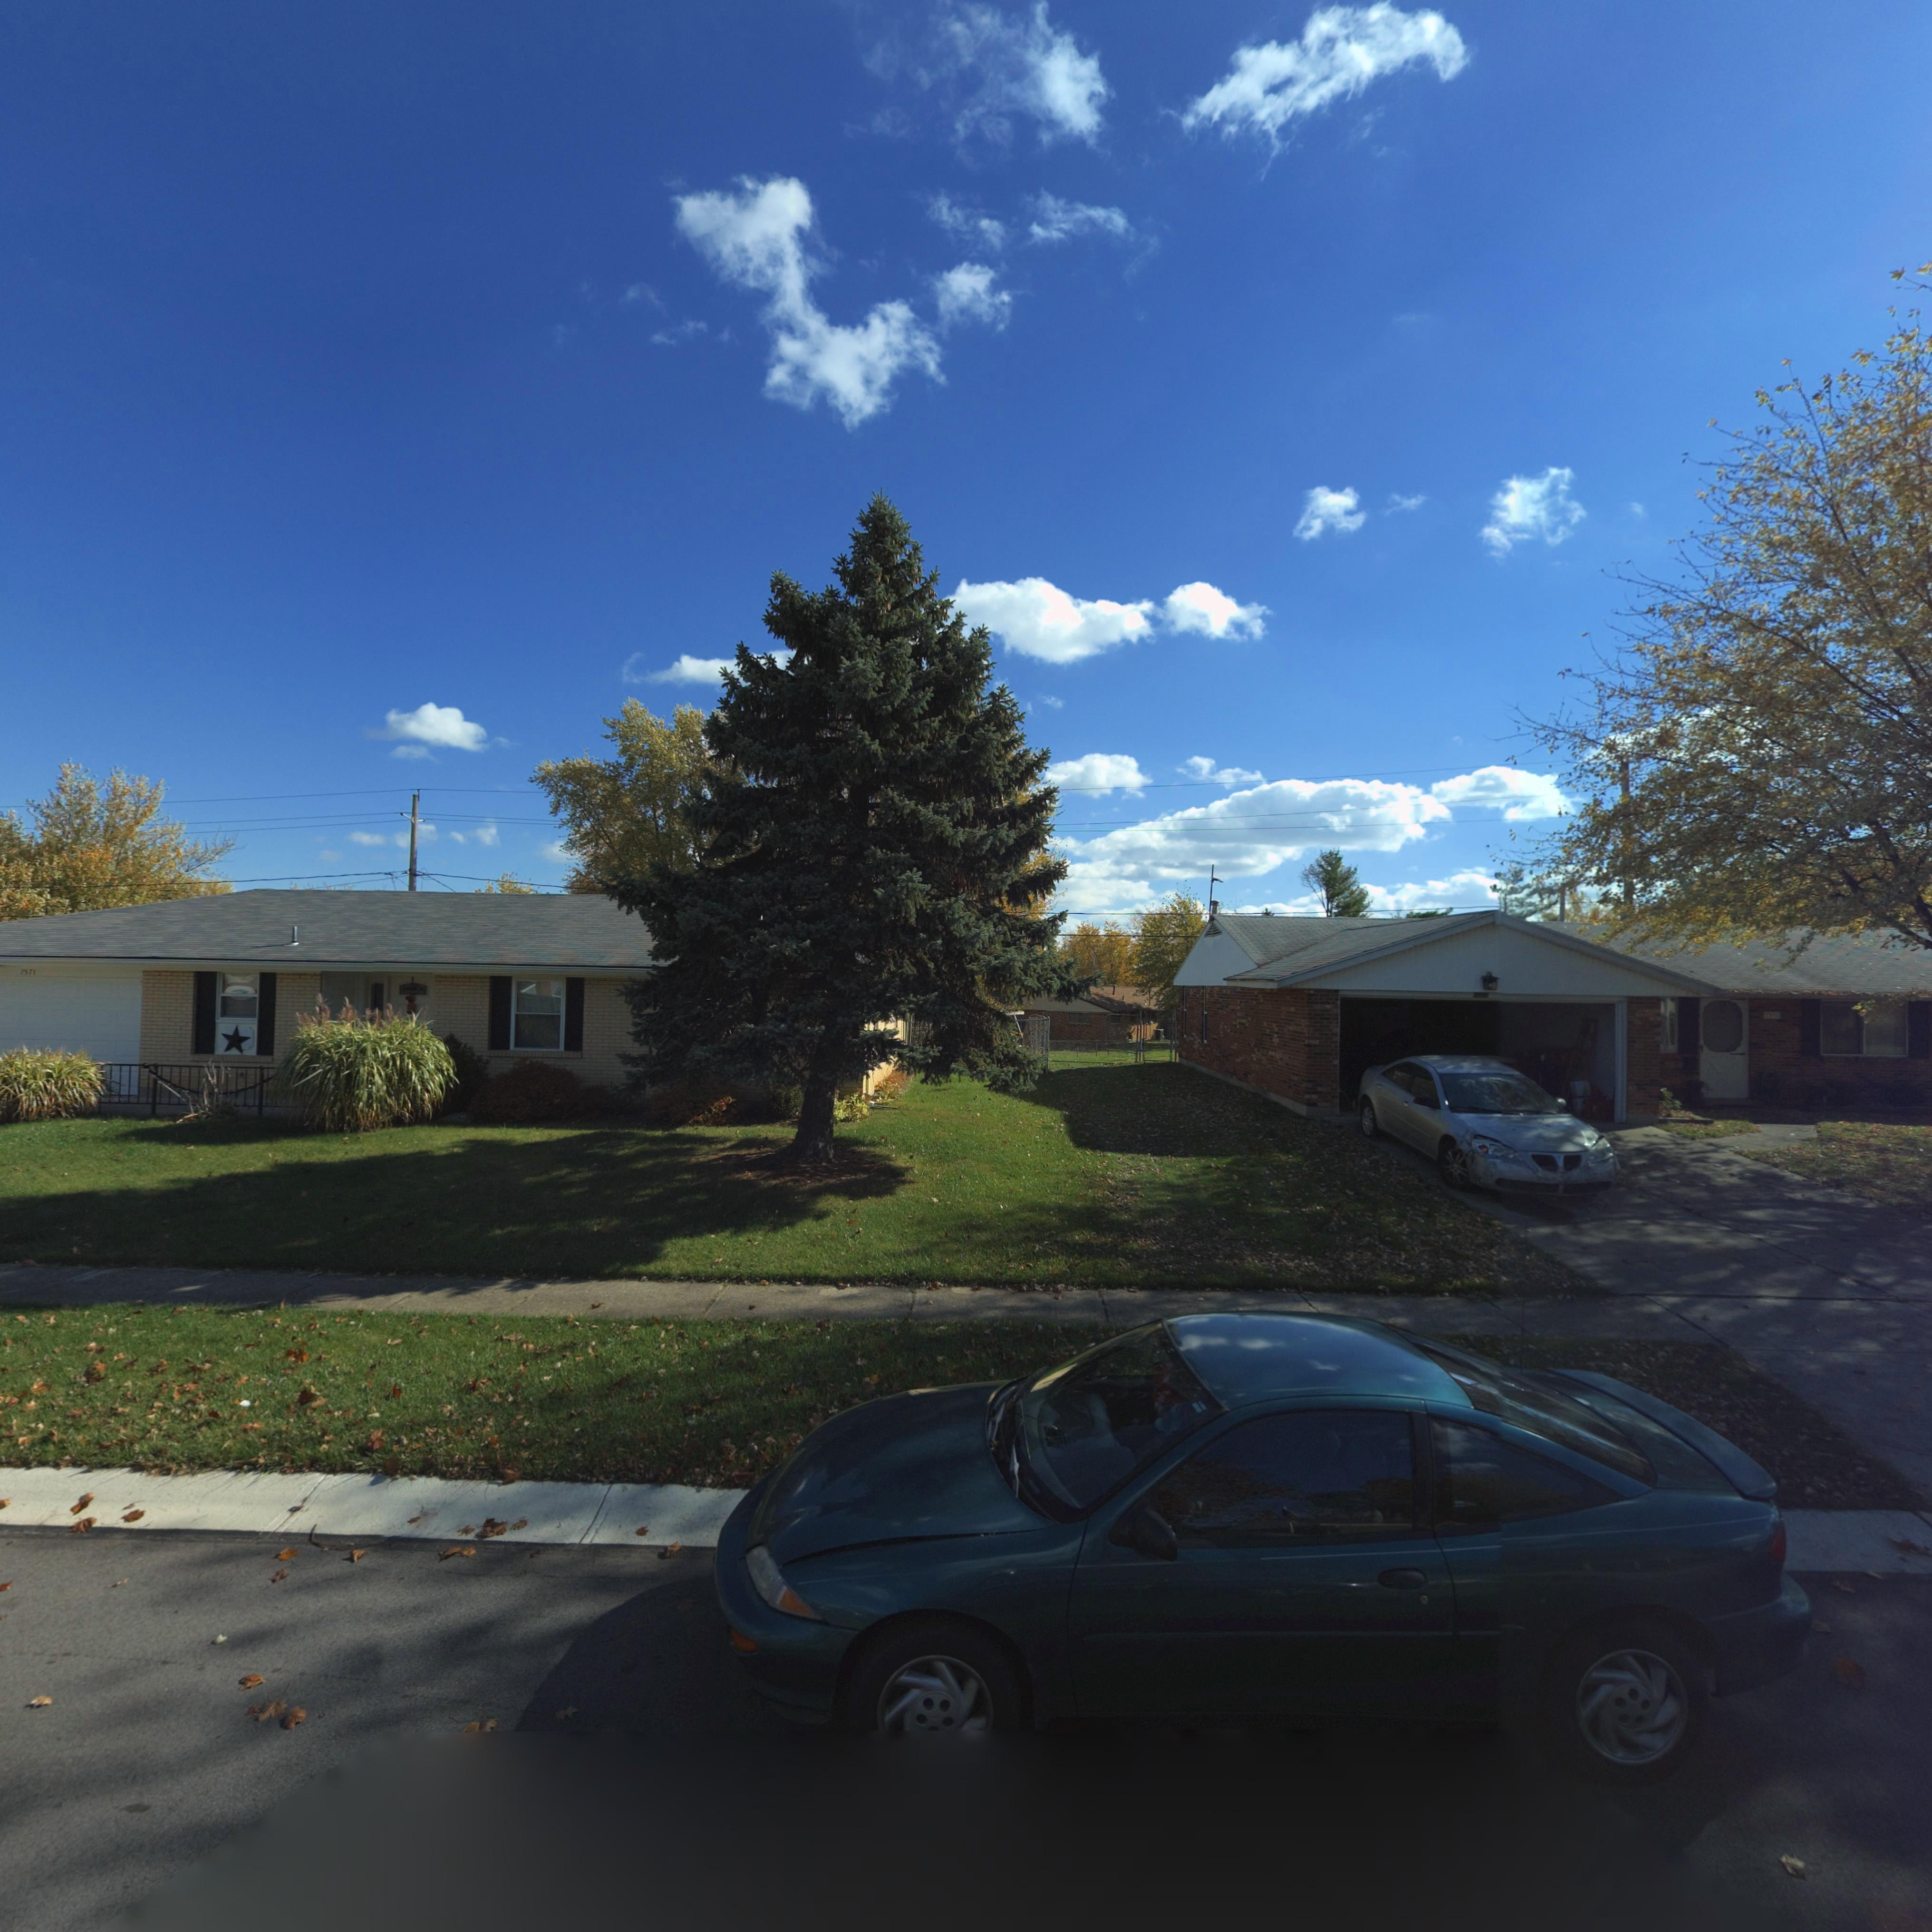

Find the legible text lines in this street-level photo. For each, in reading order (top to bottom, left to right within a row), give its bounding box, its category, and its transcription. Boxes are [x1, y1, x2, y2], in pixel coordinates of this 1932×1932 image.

[19, 968, 37, 976] StreetNumber: **71